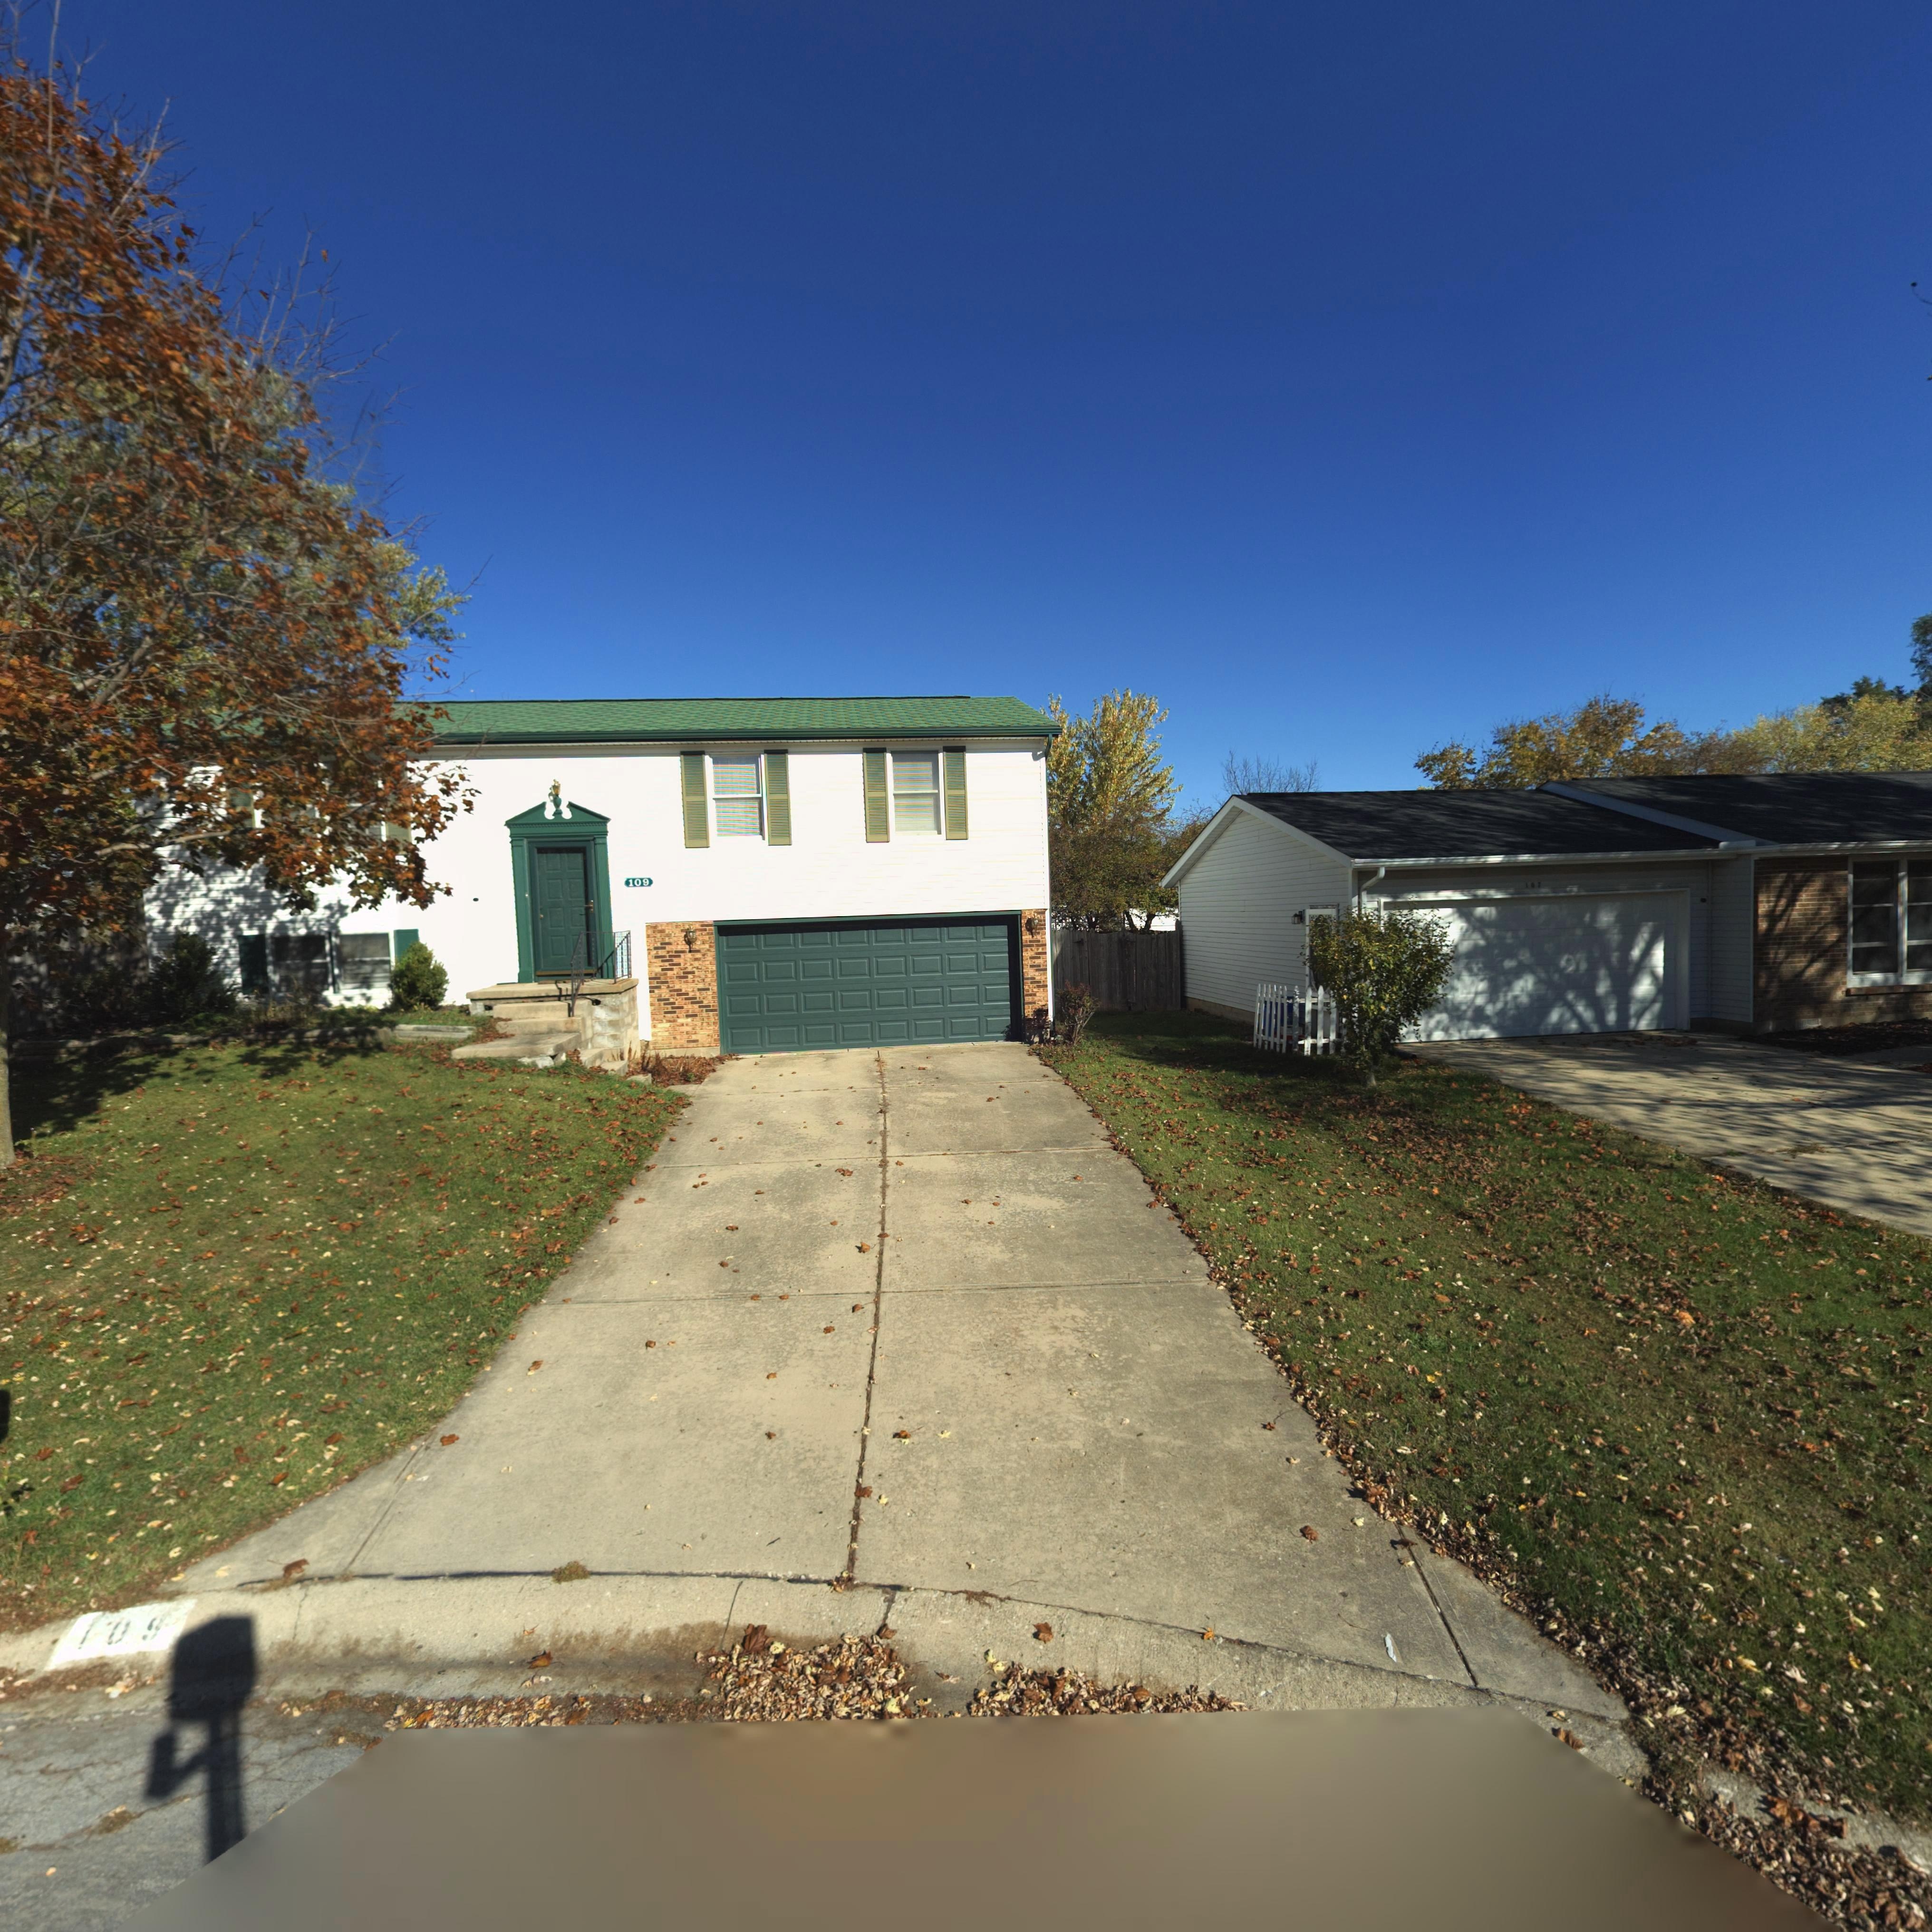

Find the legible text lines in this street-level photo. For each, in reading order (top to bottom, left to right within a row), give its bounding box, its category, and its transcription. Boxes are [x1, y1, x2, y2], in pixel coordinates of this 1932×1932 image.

[628, 878, 650, 887] StreetNumber: 109
[1524, 880, 1542, 889] StreetNumber: 107
[74, 1611, 168, 1654] StreetNumber: 109